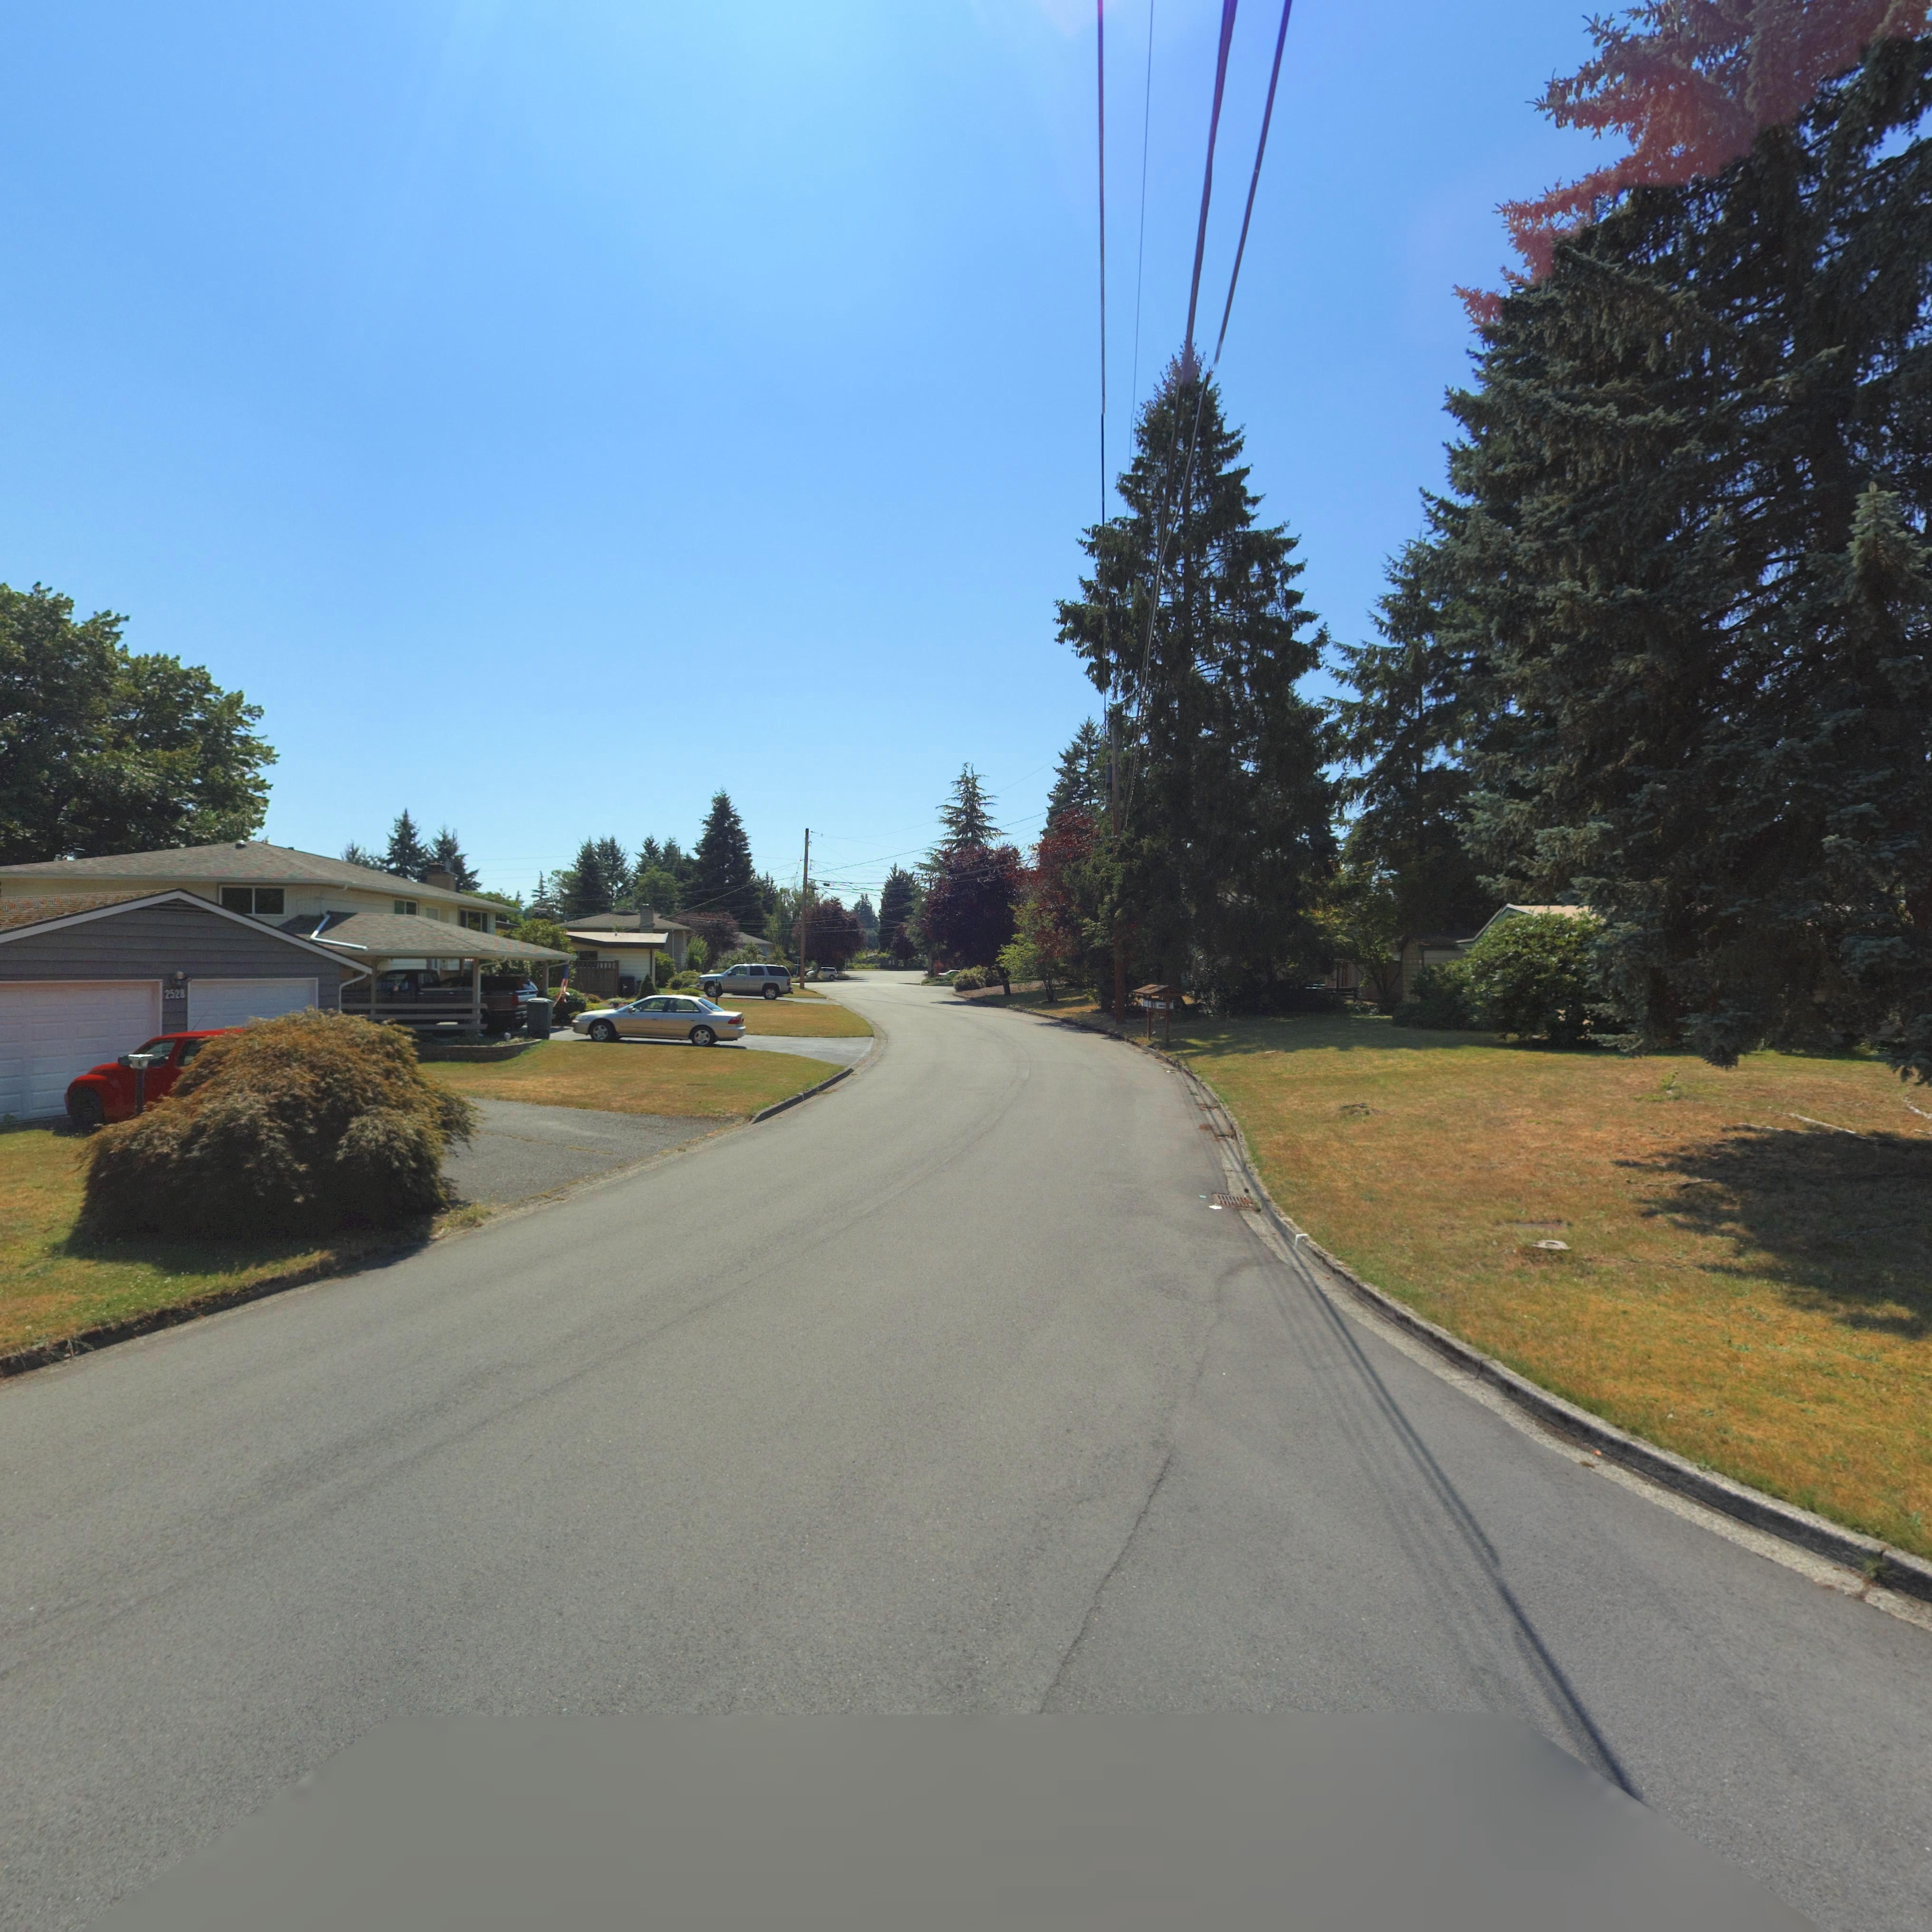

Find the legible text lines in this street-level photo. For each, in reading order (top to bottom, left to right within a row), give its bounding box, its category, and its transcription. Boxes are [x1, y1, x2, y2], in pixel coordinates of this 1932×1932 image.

[164, 988, 185, 1000] StreetNumber: 2528